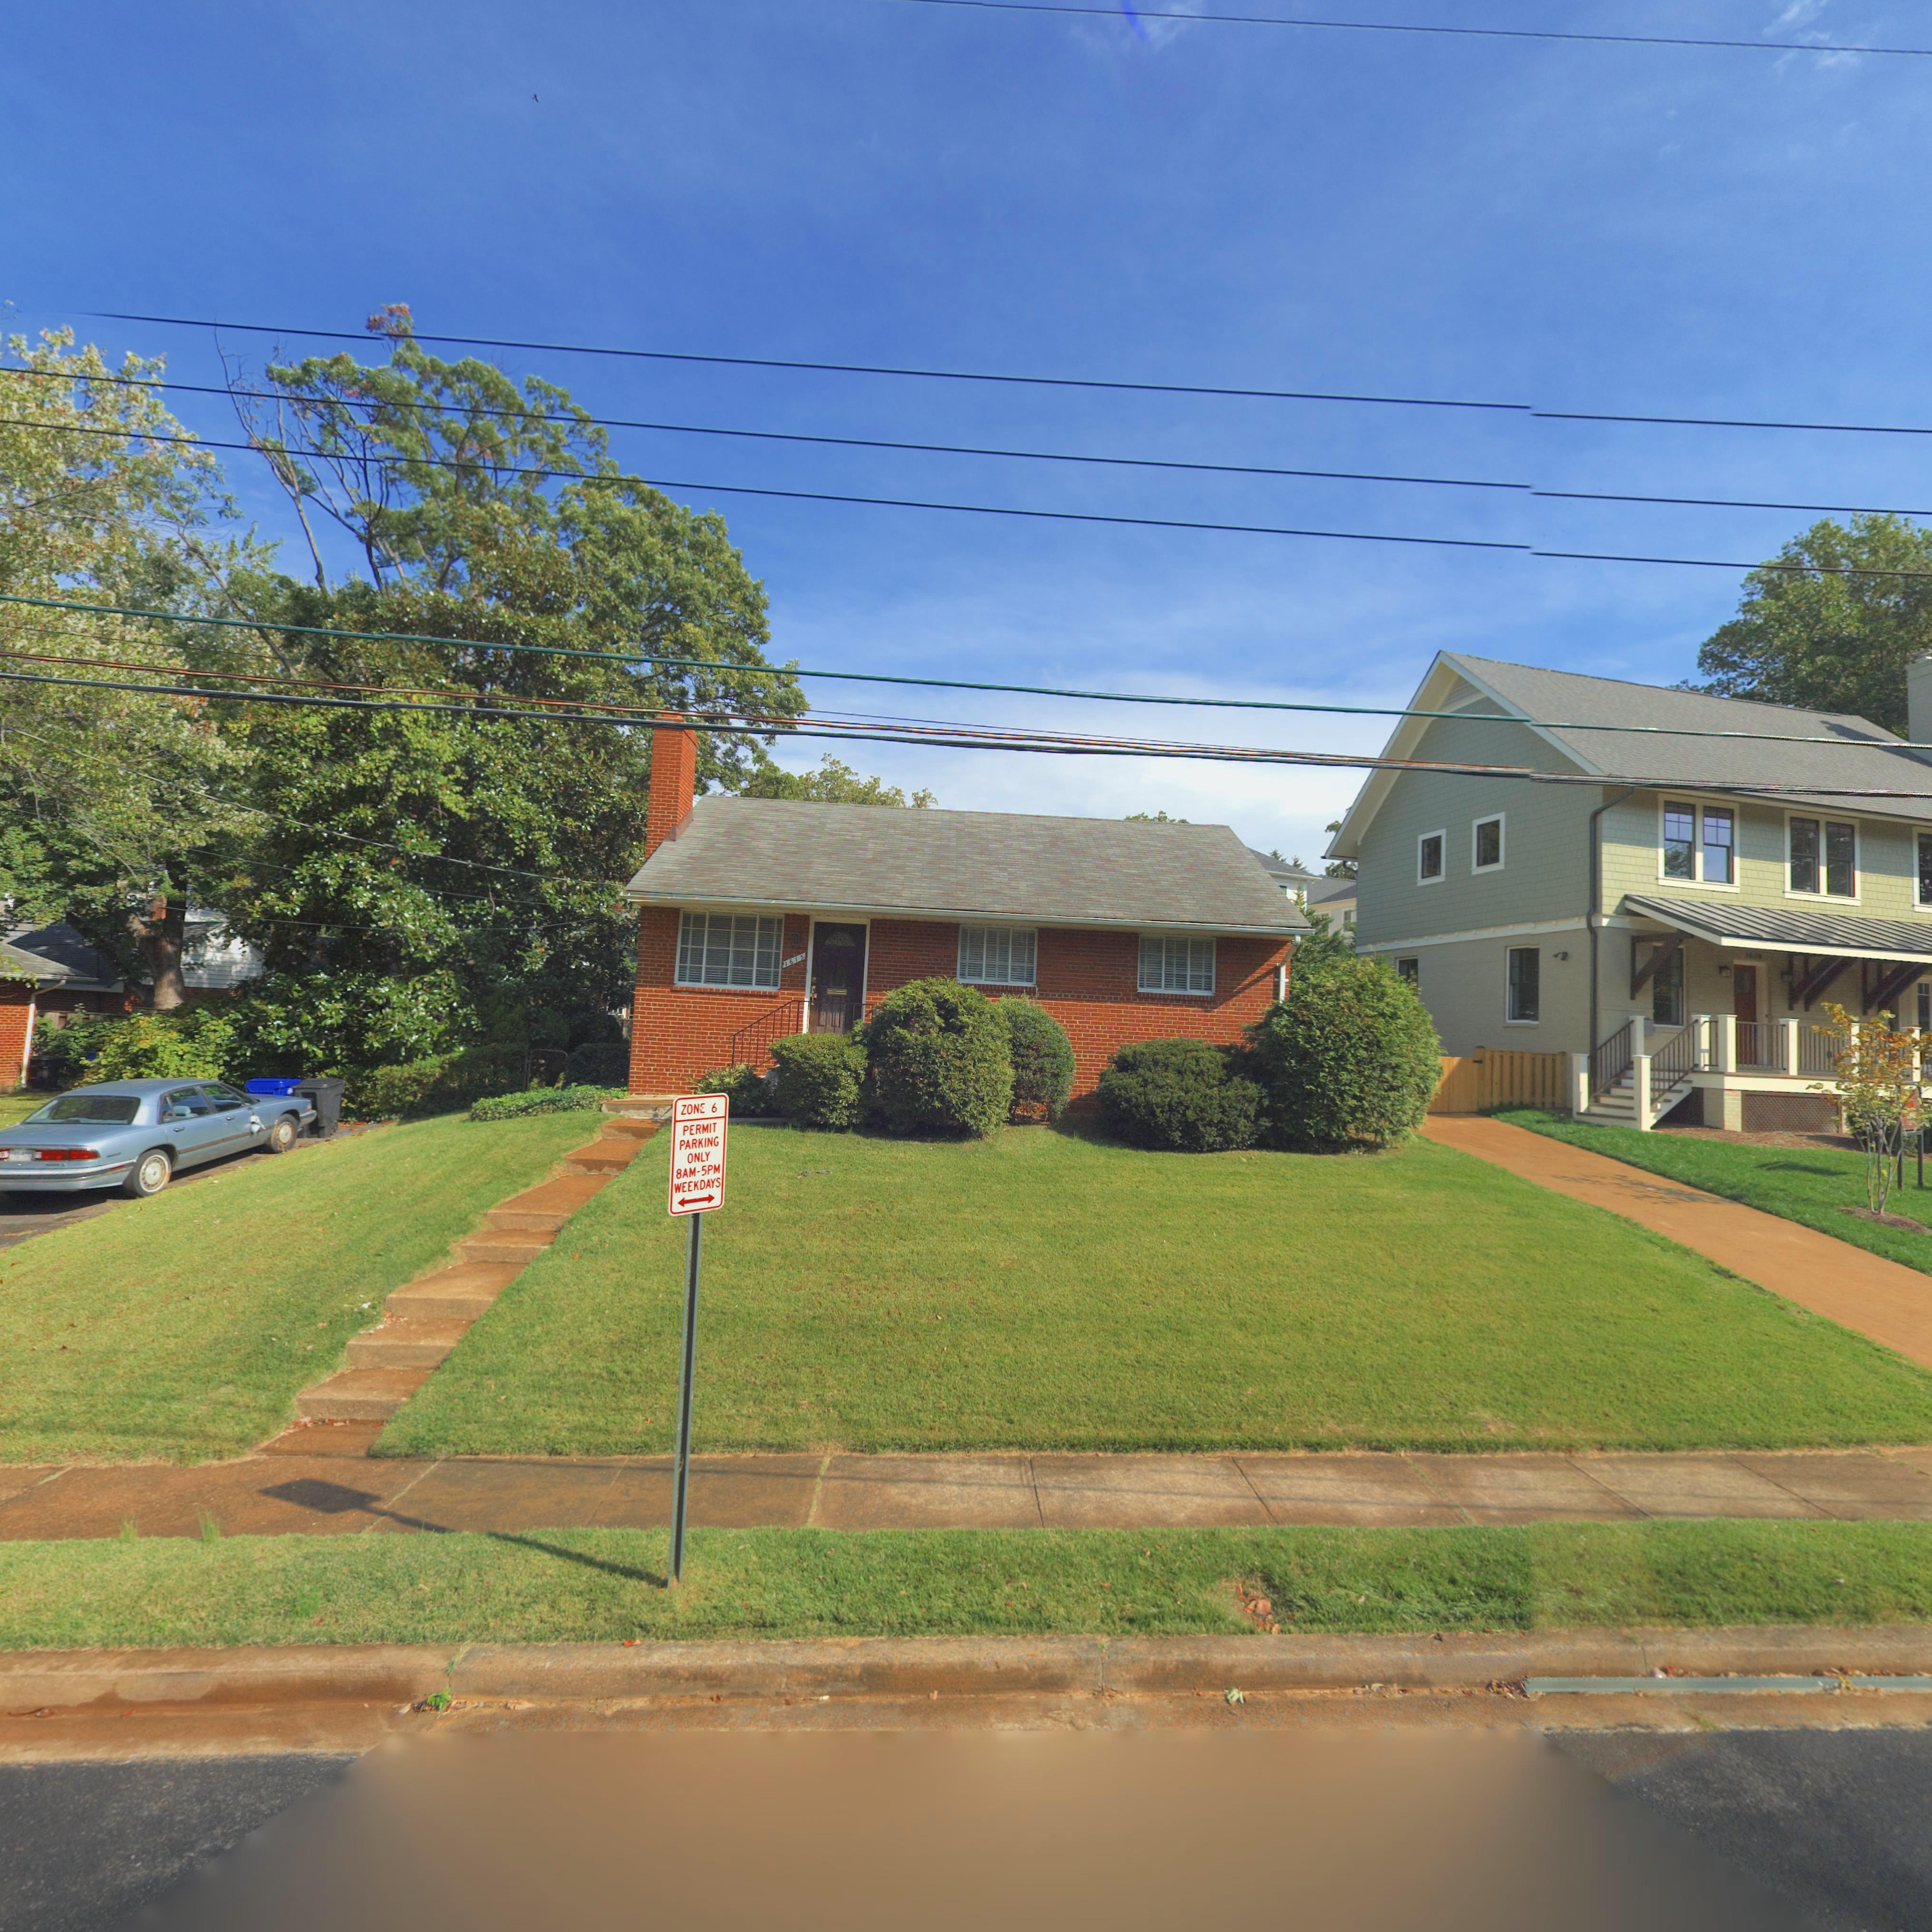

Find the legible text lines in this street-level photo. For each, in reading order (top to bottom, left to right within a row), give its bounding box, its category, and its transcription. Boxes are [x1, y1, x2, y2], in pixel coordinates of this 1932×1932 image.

[784, 953, 804, 967] StreetNumber: 1615
[679, 1101, 719, 1117] None: ZONE 6
[682, 1121, 719, 1138] None: PERMIT
[678, 1134, 720, 1152] None: PARKING
[686, 1149, 713, 1165] None: ONLY
[675, 1162, 721, 1181] None: 8AM-5PM
[672, 1175, 723, 1195] None: WEEKDAYS